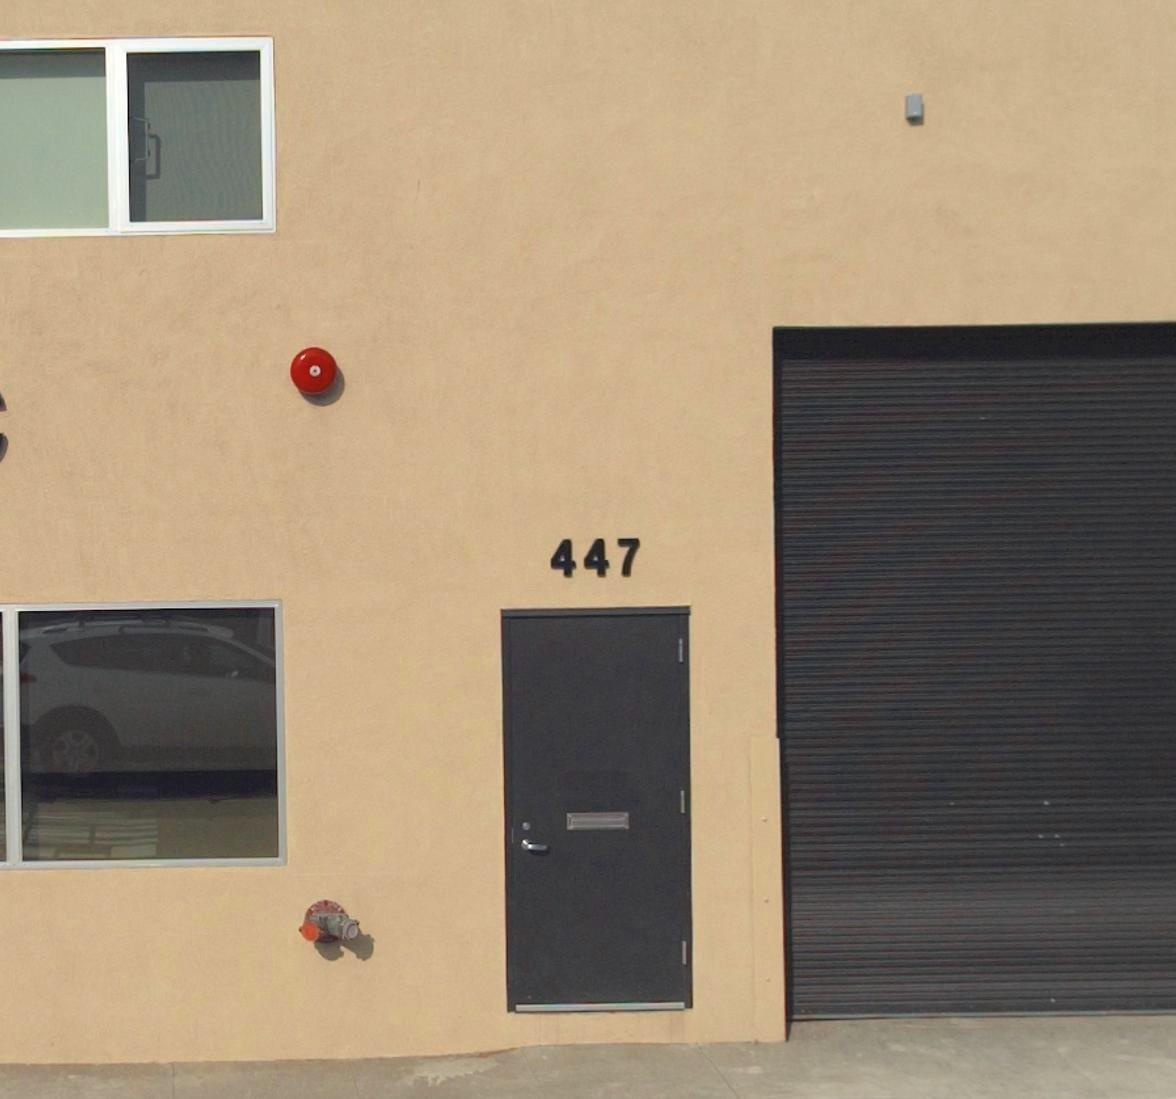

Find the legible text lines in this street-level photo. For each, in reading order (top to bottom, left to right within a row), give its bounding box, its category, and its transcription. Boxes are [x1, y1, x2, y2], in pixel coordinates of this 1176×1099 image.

[550, 537, 641, 578] StreetNumber: 447